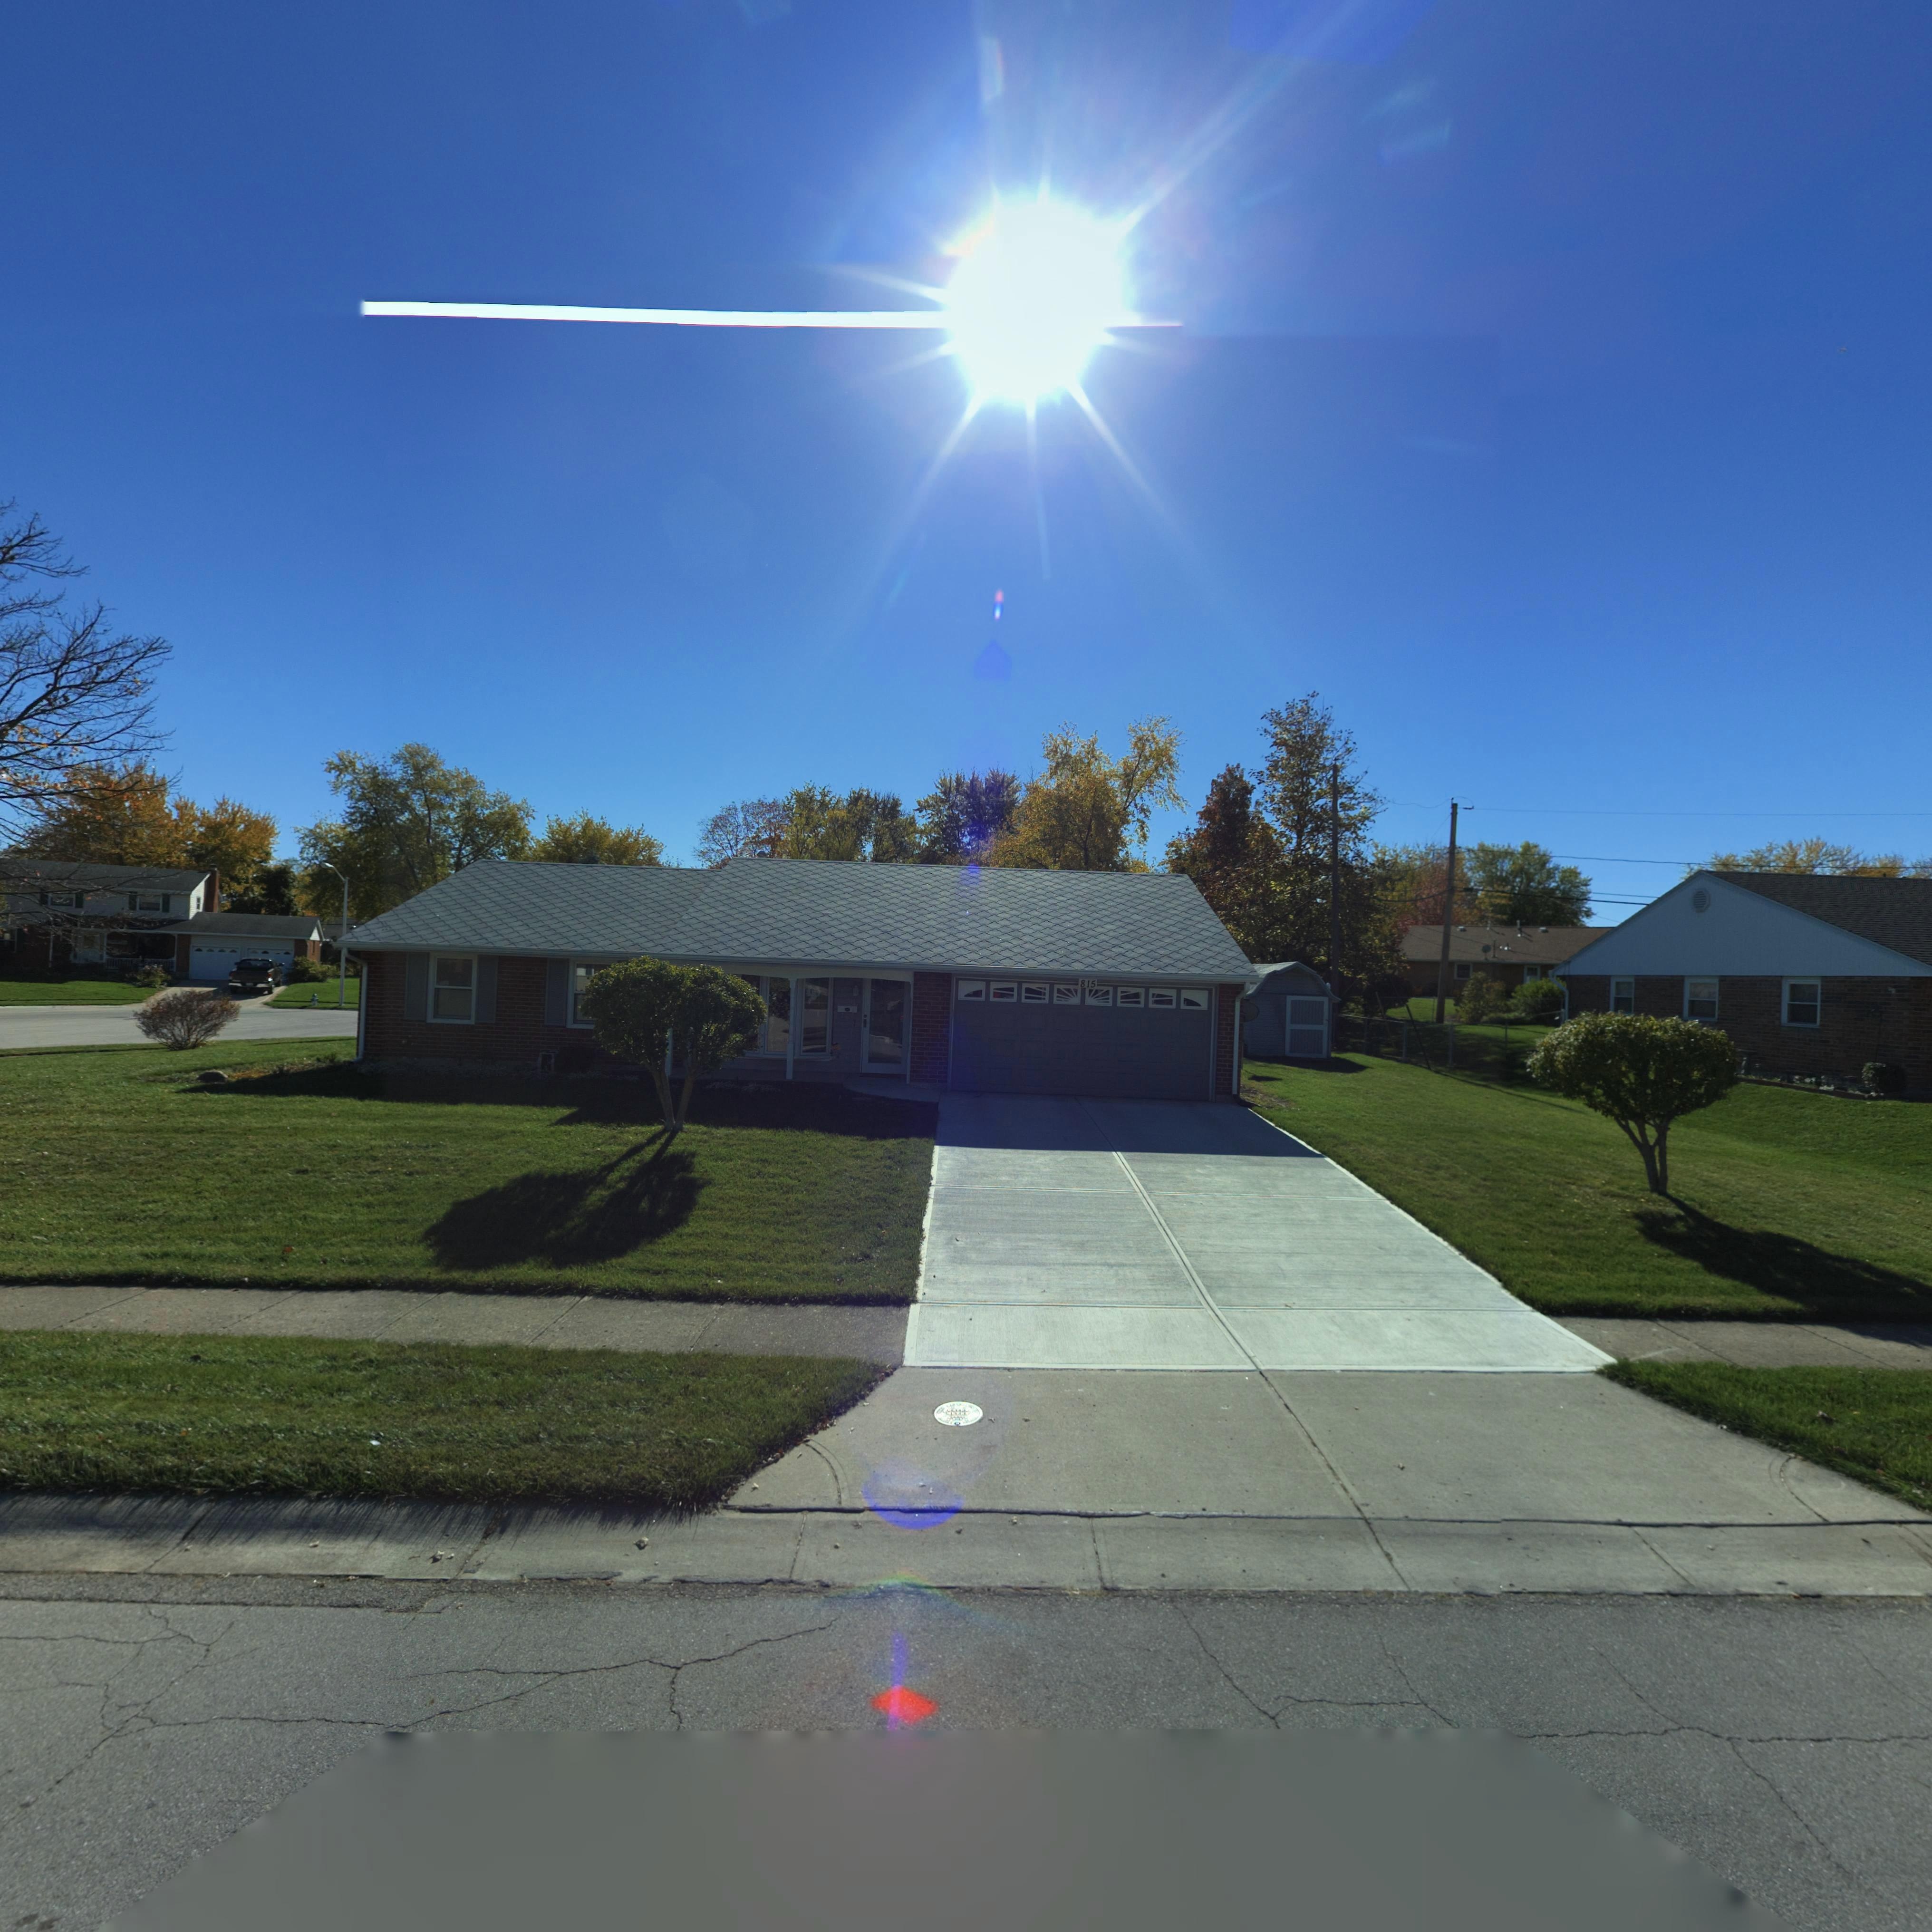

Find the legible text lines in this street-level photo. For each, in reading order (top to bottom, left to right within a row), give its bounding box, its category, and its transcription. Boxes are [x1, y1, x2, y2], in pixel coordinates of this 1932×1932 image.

[1080, 979, 1097, 989] StreetNumber: 815